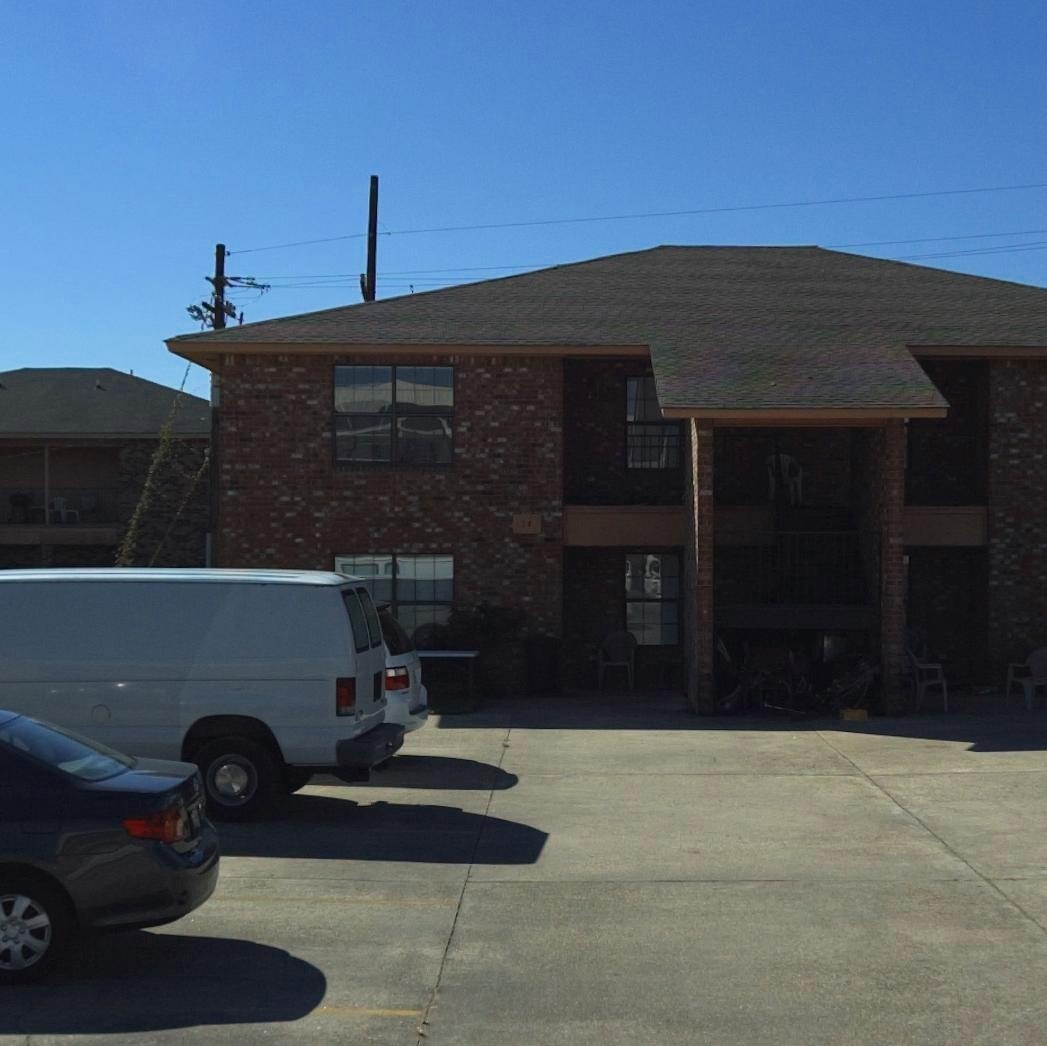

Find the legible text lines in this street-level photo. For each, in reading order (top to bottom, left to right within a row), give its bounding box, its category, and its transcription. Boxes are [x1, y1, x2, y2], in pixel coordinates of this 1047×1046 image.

[525, 519, 533, 529] StreetNumber: 4